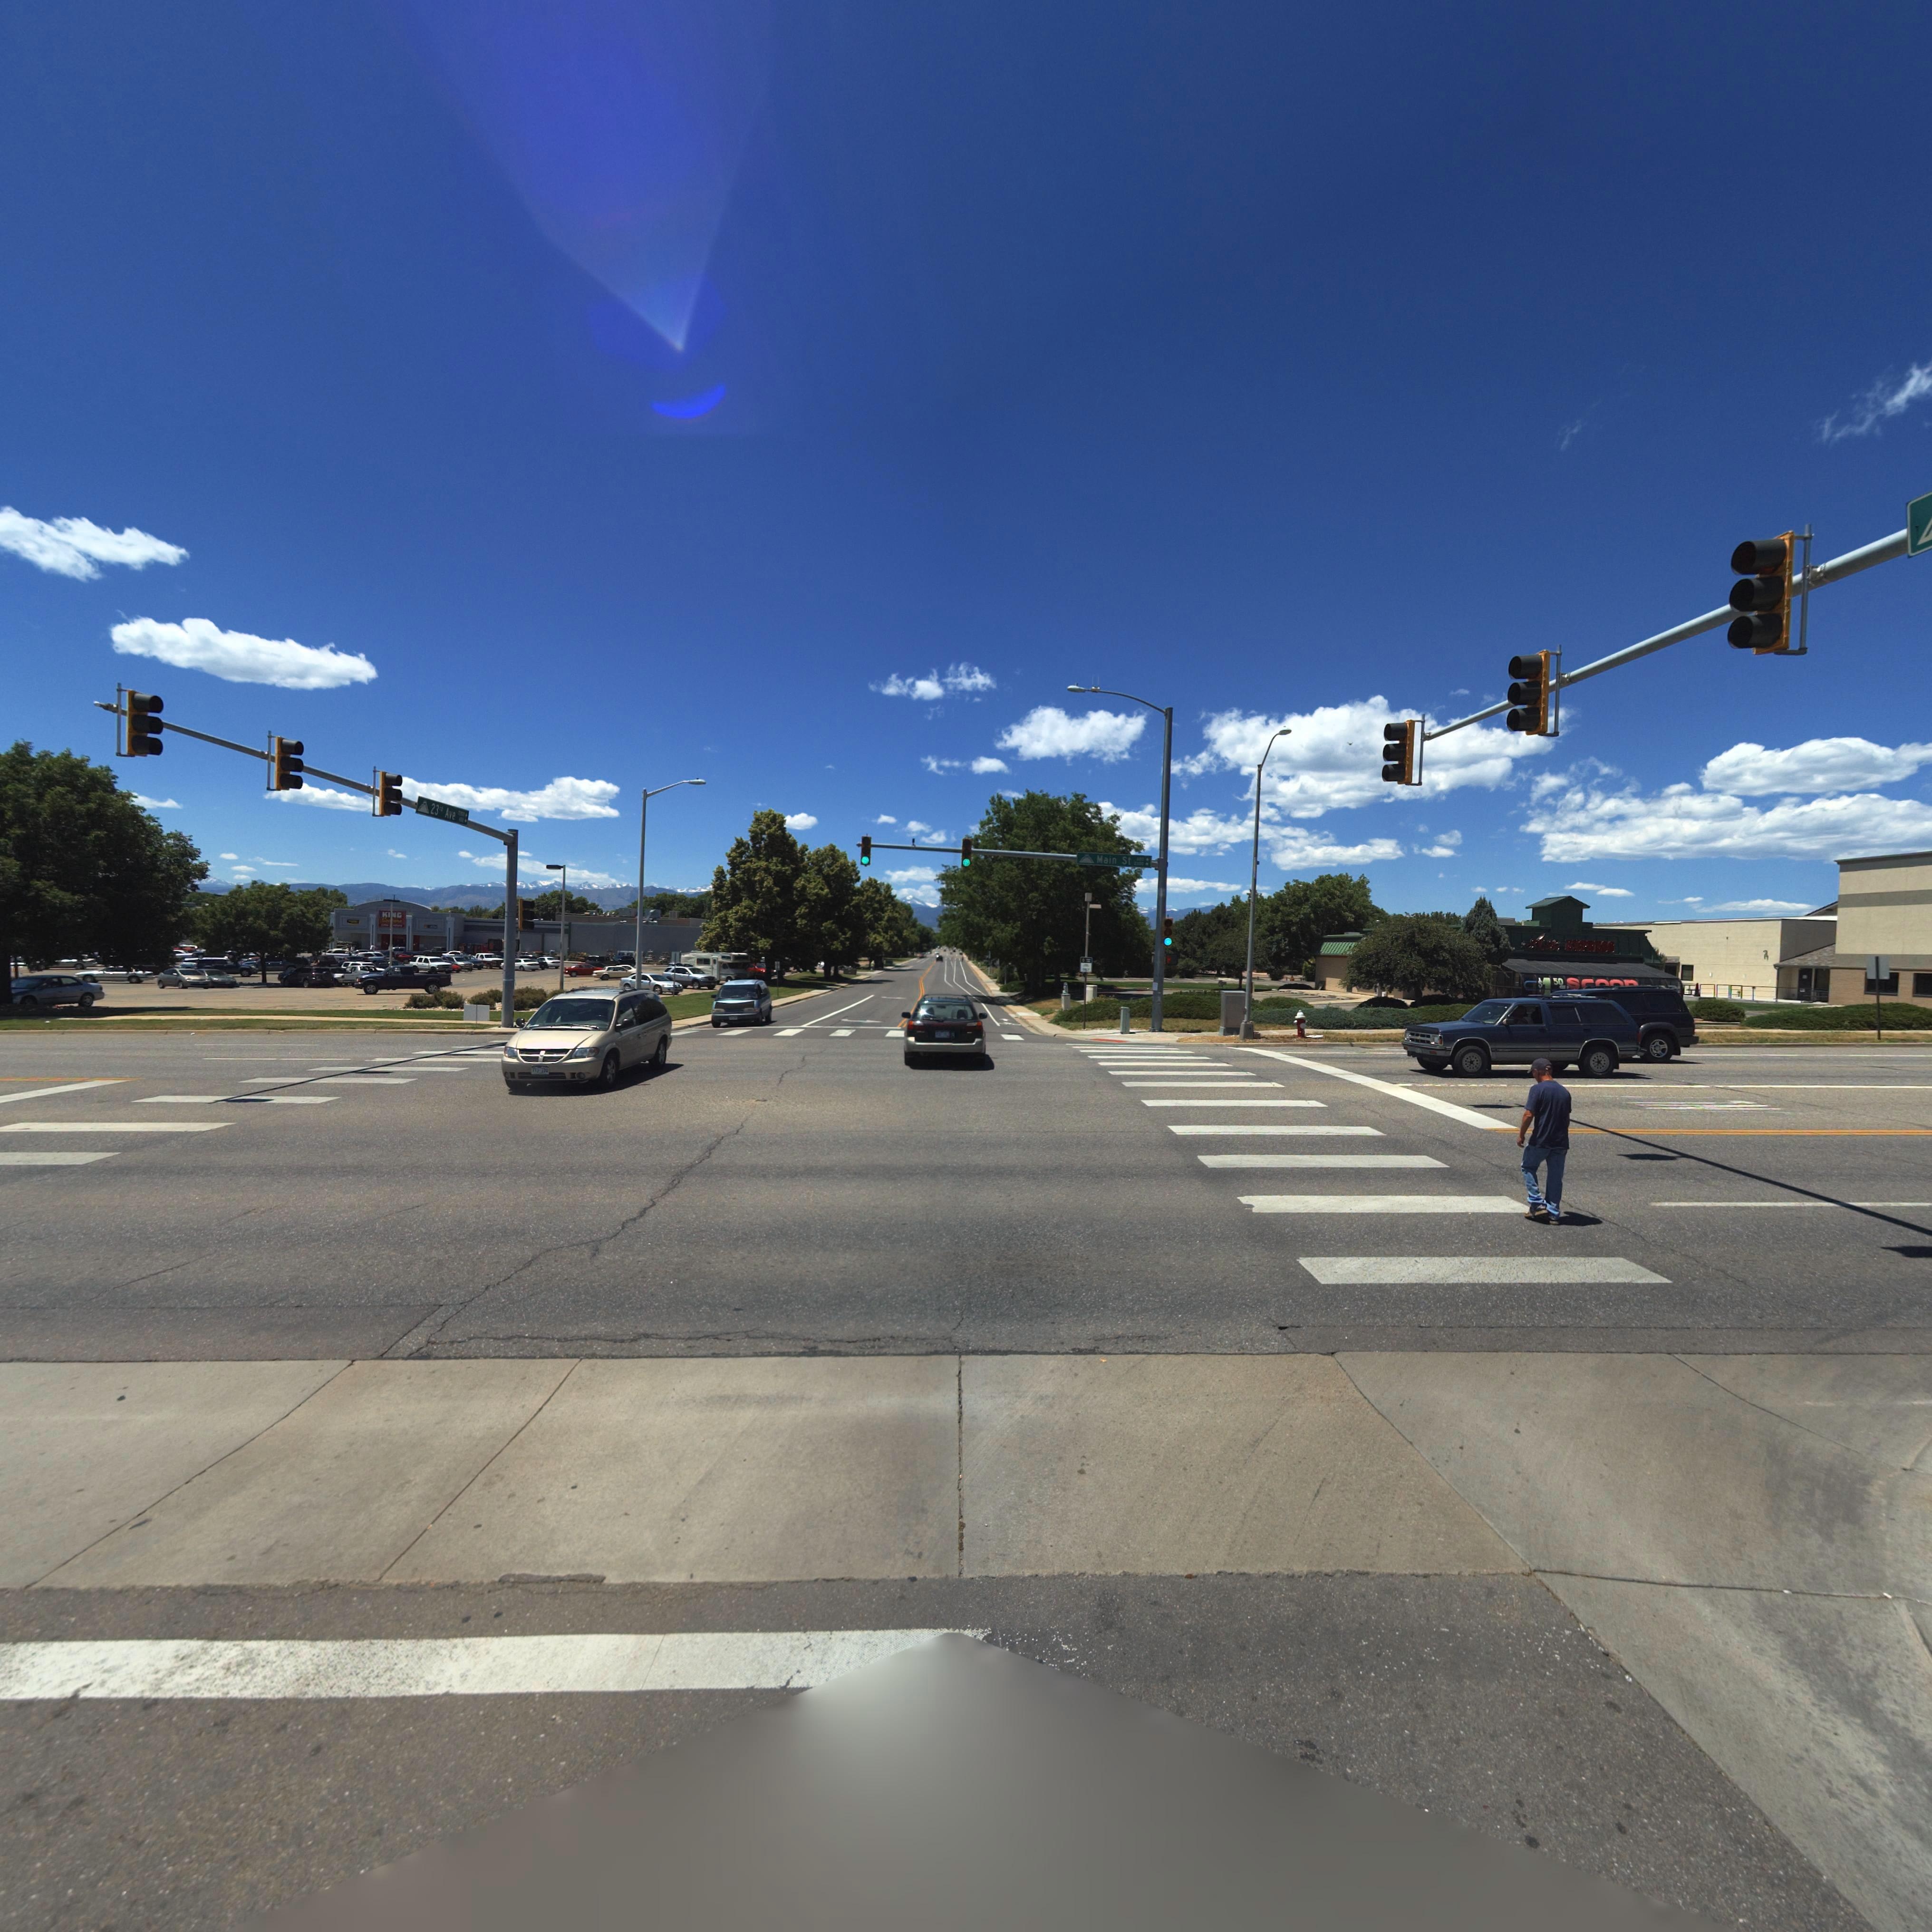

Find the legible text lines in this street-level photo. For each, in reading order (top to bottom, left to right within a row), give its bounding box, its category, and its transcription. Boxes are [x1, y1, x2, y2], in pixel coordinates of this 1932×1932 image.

[430, 802, 455, 820] StreetName: *23*d Ave
[1096, 855, 1131, 865] StreetName: Mian St
[1133, 861, 1144, 866] StreetNumberRange: 2*00->
[1136, 857, 1144, 861] StreetNumberRange: 600
[382, 911, 401, 918] BusinessName: KING
[381, 918, 402, 923] BusinessName: So**ers
[1521, 932, 1563, 951] BusinessName: A**
[1564, 938, 1615, 953] BusinessName: EXPRESS